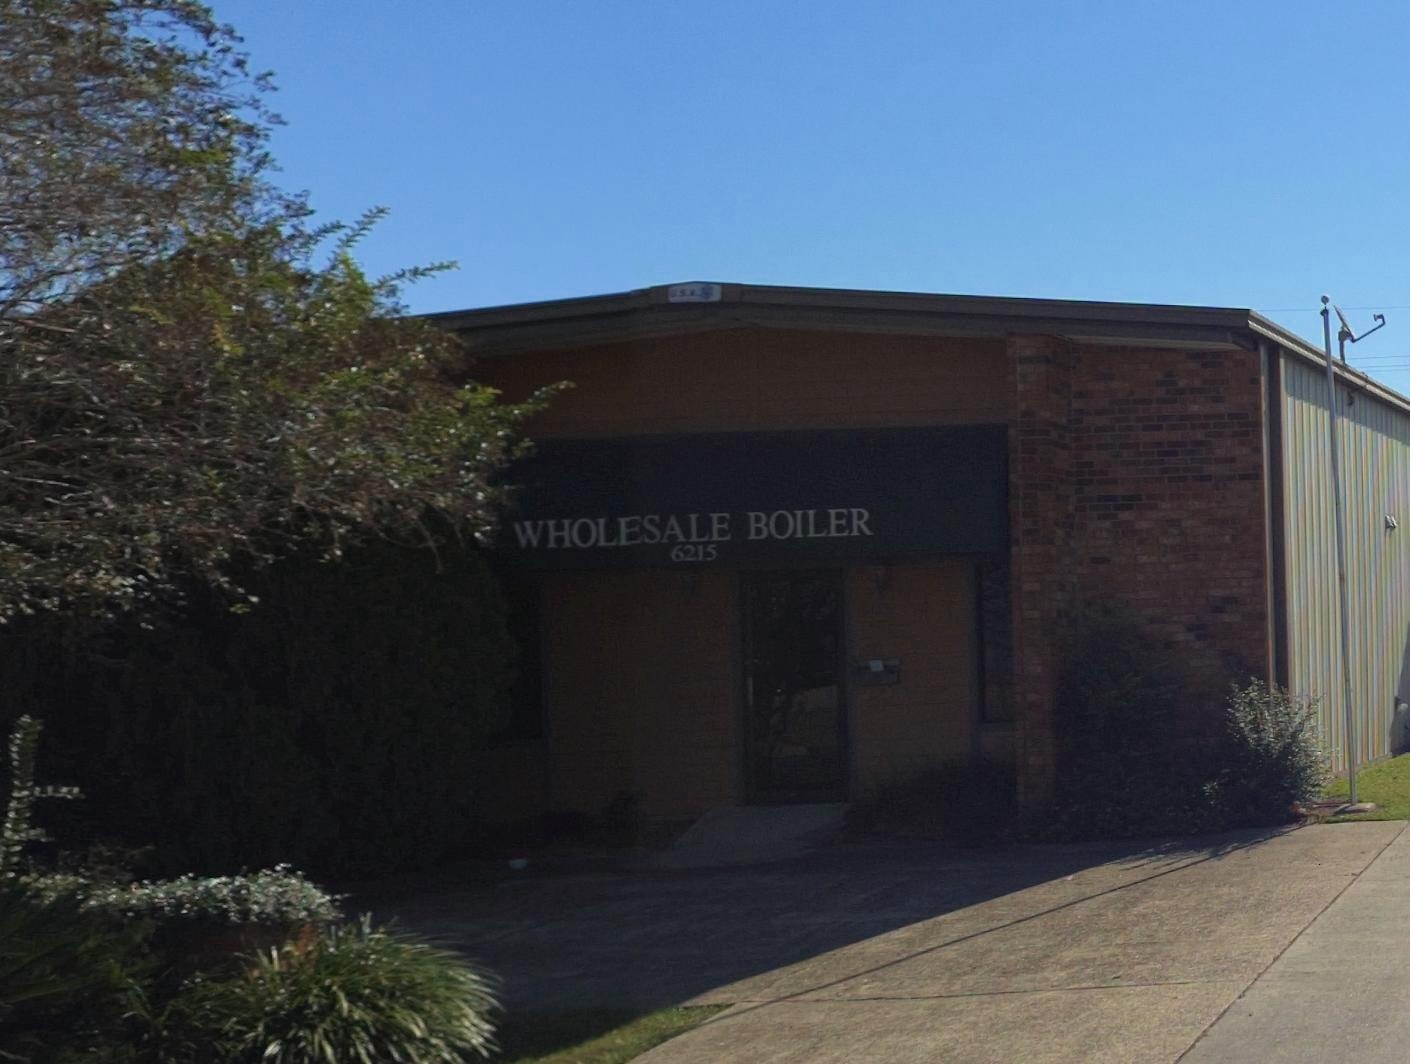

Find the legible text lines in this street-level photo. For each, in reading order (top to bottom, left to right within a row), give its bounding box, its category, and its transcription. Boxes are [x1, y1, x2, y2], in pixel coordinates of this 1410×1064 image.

[508, 504, 876, 551] BusinessName: WHOLESALE BOILER
[667, 541, 720, 565] StreetNumber: 6215